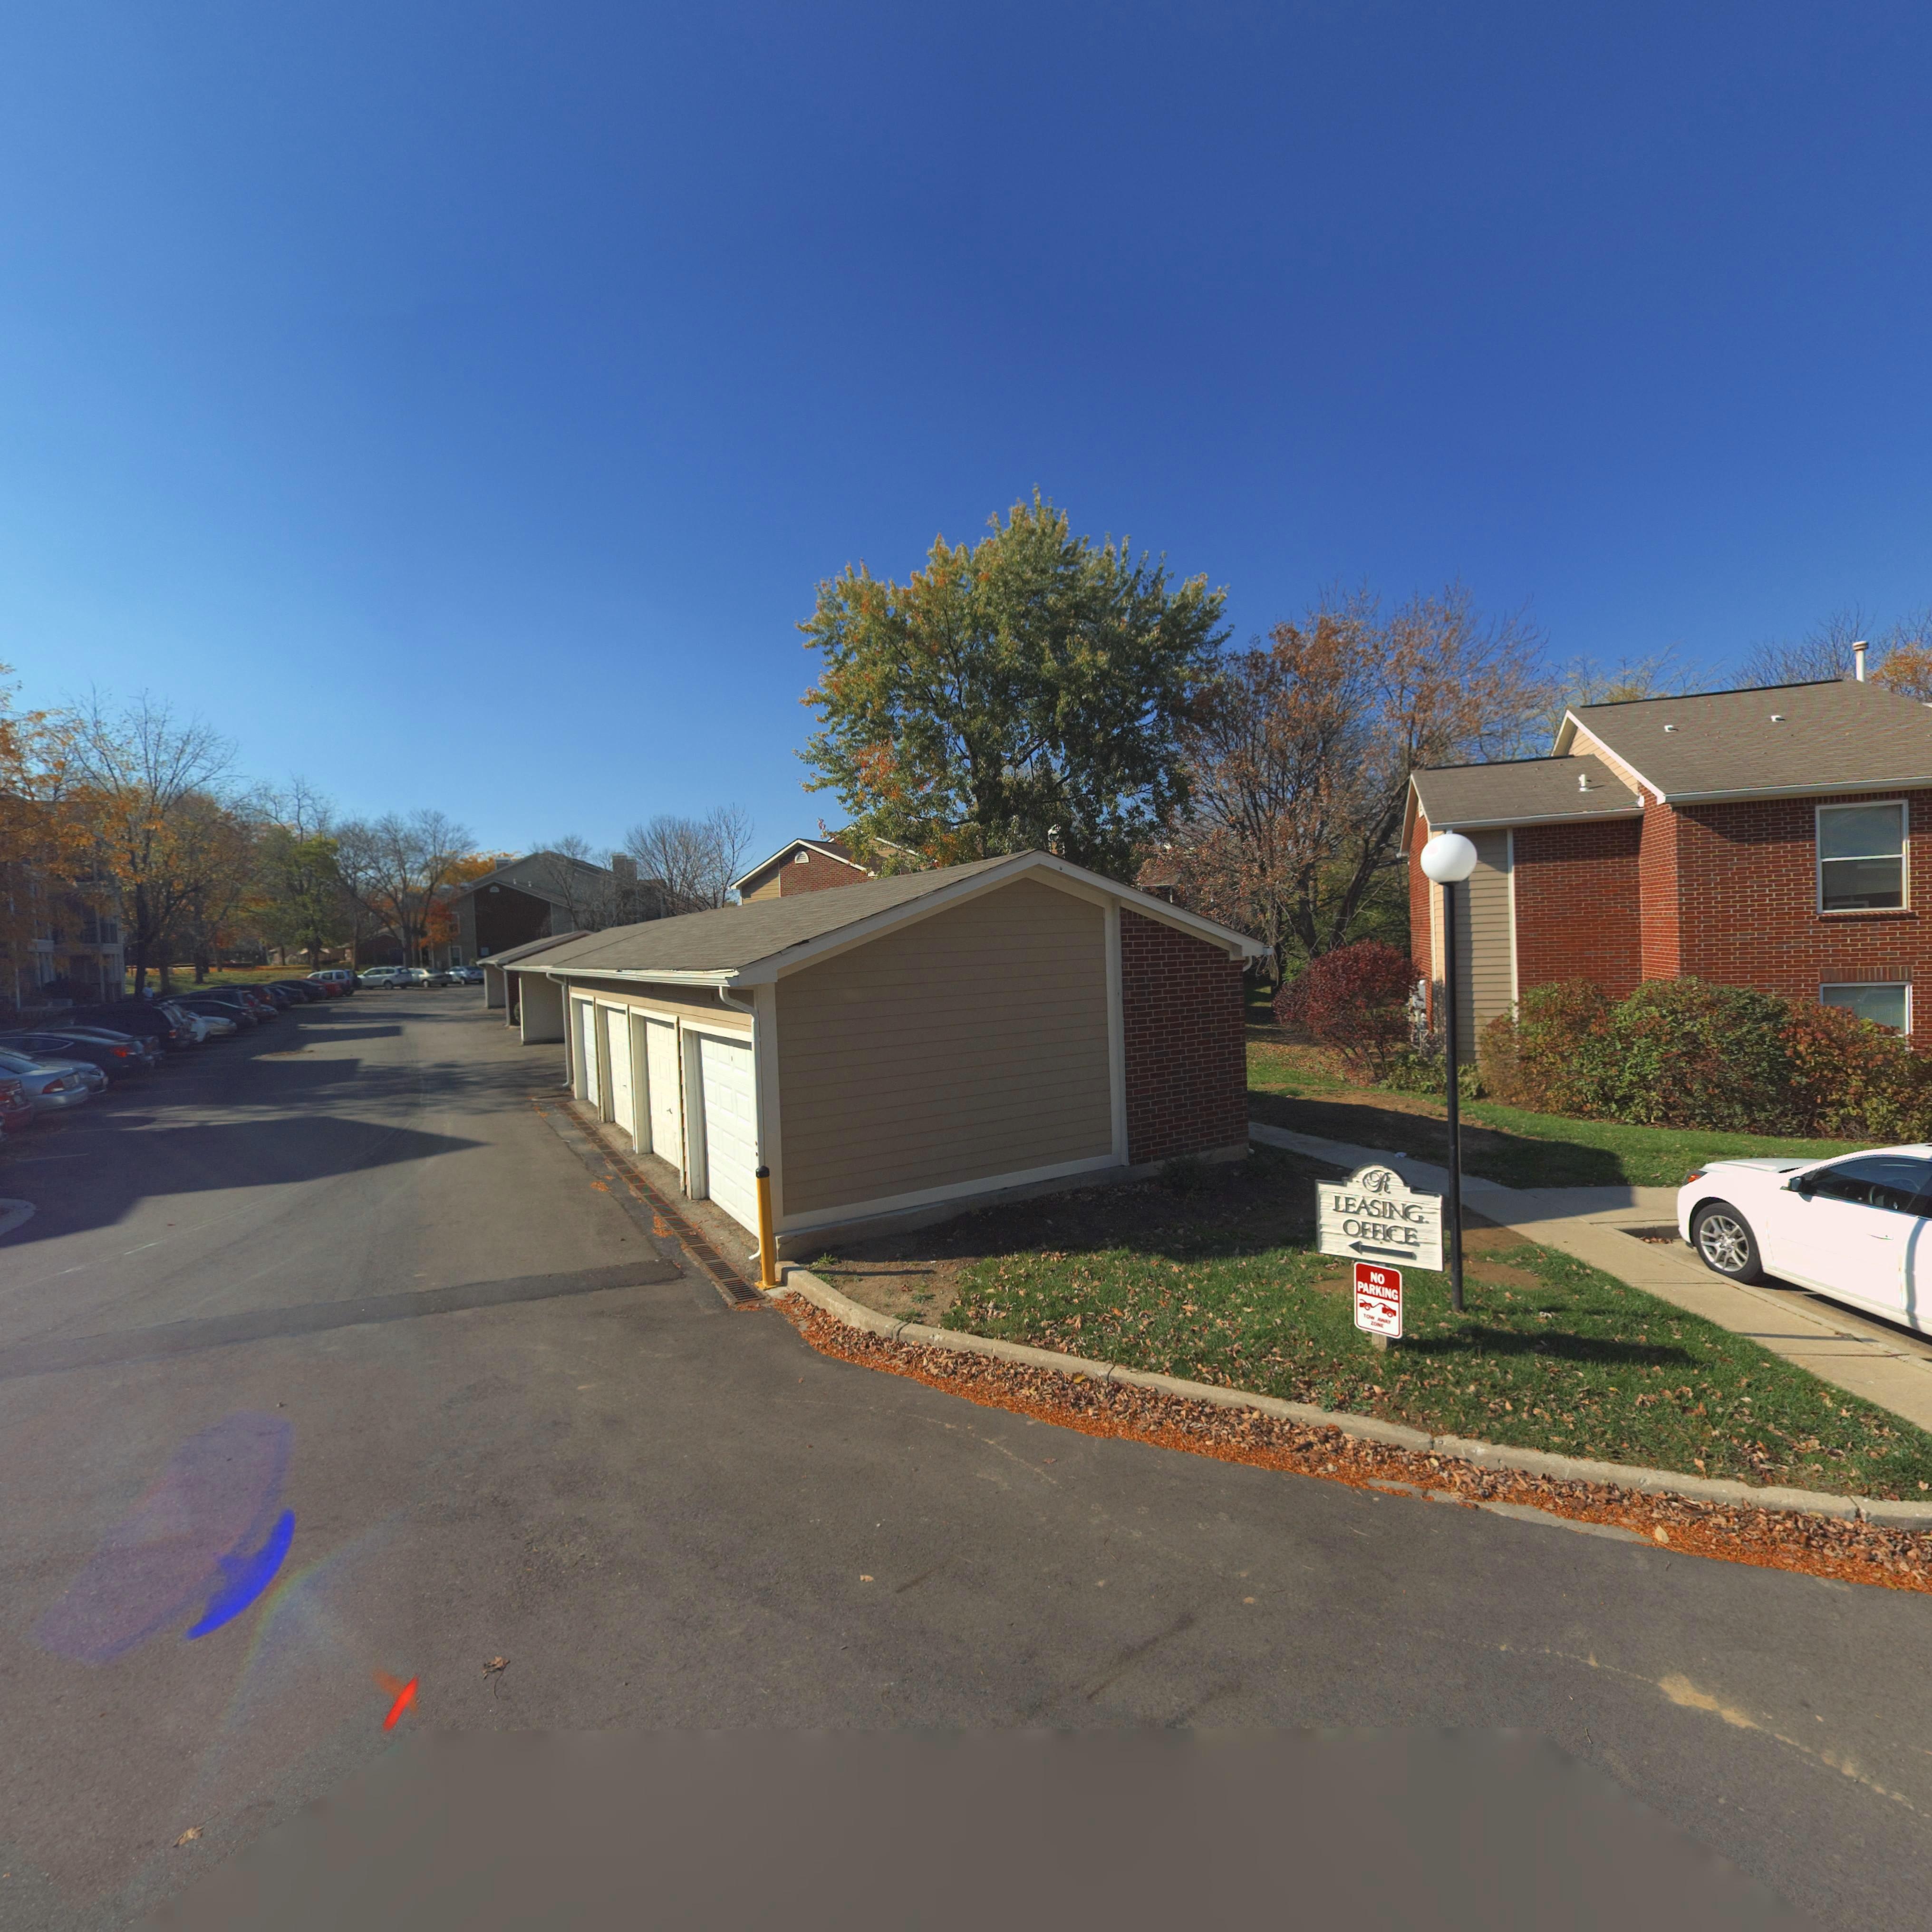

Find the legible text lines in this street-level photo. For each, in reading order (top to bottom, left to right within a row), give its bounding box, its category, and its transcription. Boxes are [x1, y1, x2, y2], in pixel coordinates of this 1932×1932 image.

[1329, 1192, 1427, 1226] None: LEASING
[1340, 1217, 1420, 1247] None: OFFICE
[1369, 1269, 1386, 1286] None: NO
[1356, 1279, 1401, 1304] None: PARKING